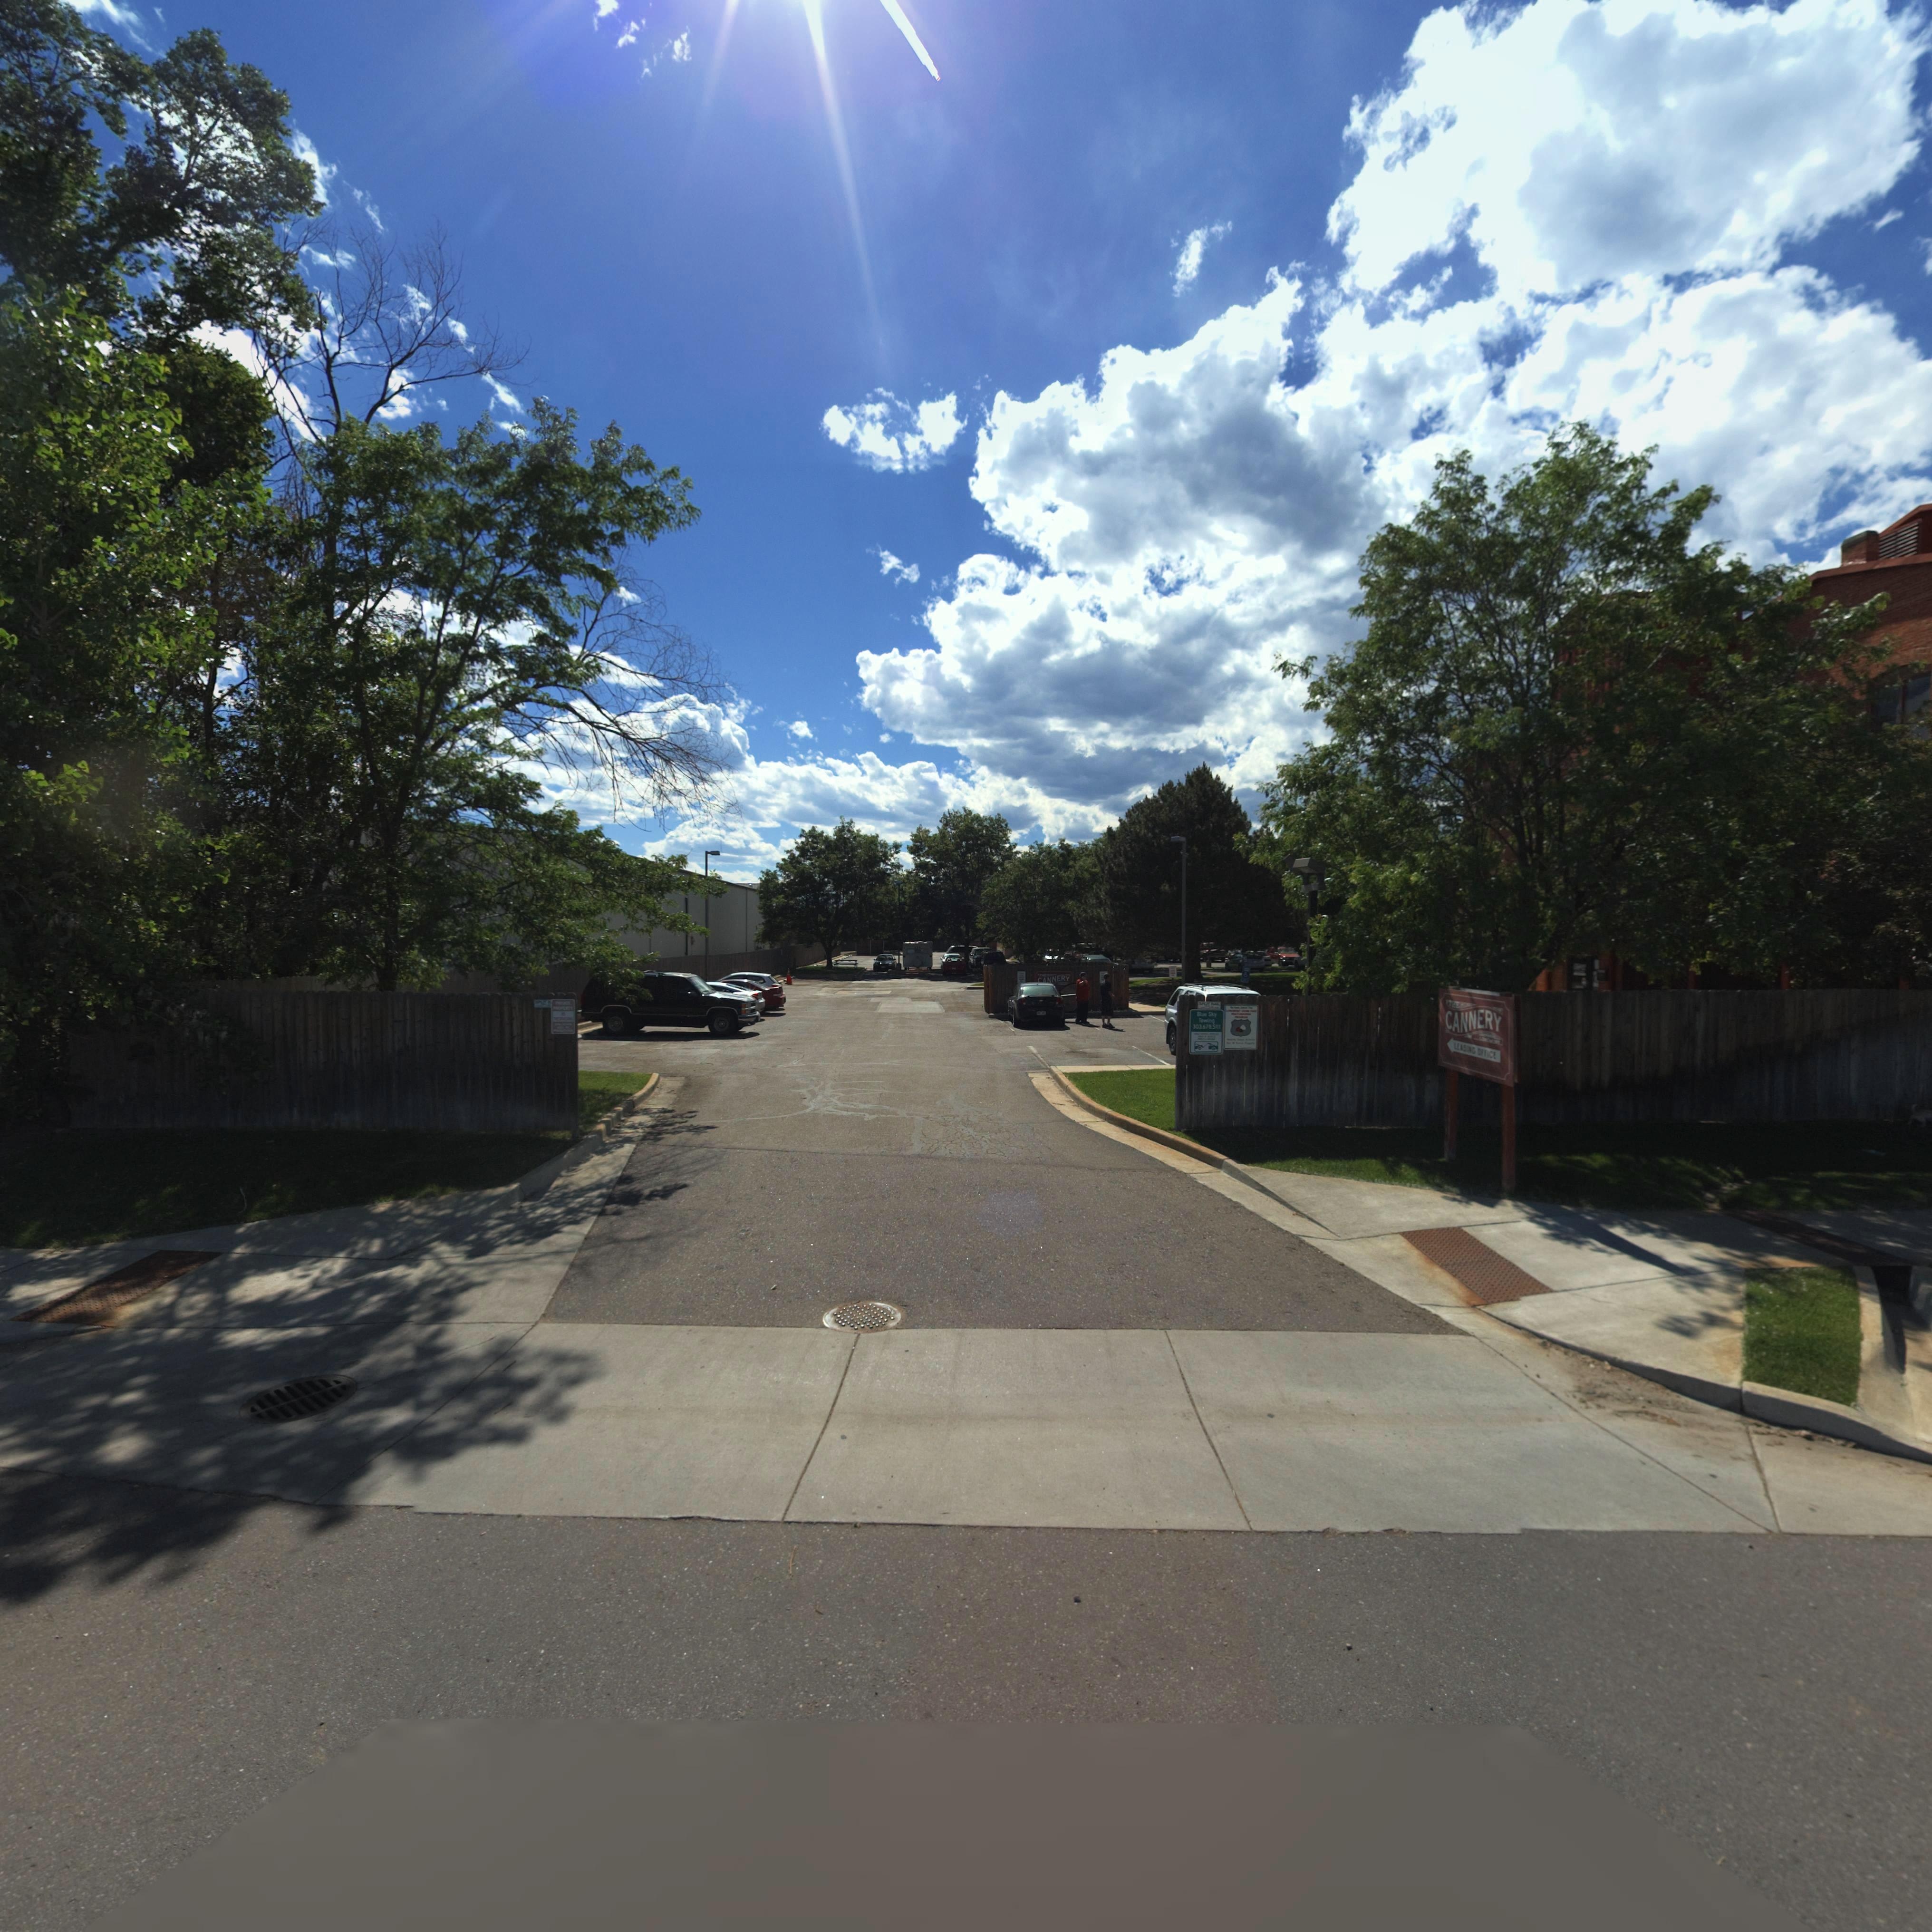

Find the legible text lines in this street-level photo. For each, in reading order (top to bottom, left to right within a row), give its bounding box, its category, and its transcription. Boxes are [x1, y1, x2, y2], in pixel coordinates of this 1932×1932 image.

[1037, 975, 1070, 983] BusinessName: **NNERY
[1448, 999, 1459, 1008] StreetName: THE
[1444, 1009, 1502, 1033] StreetName: CANNERY